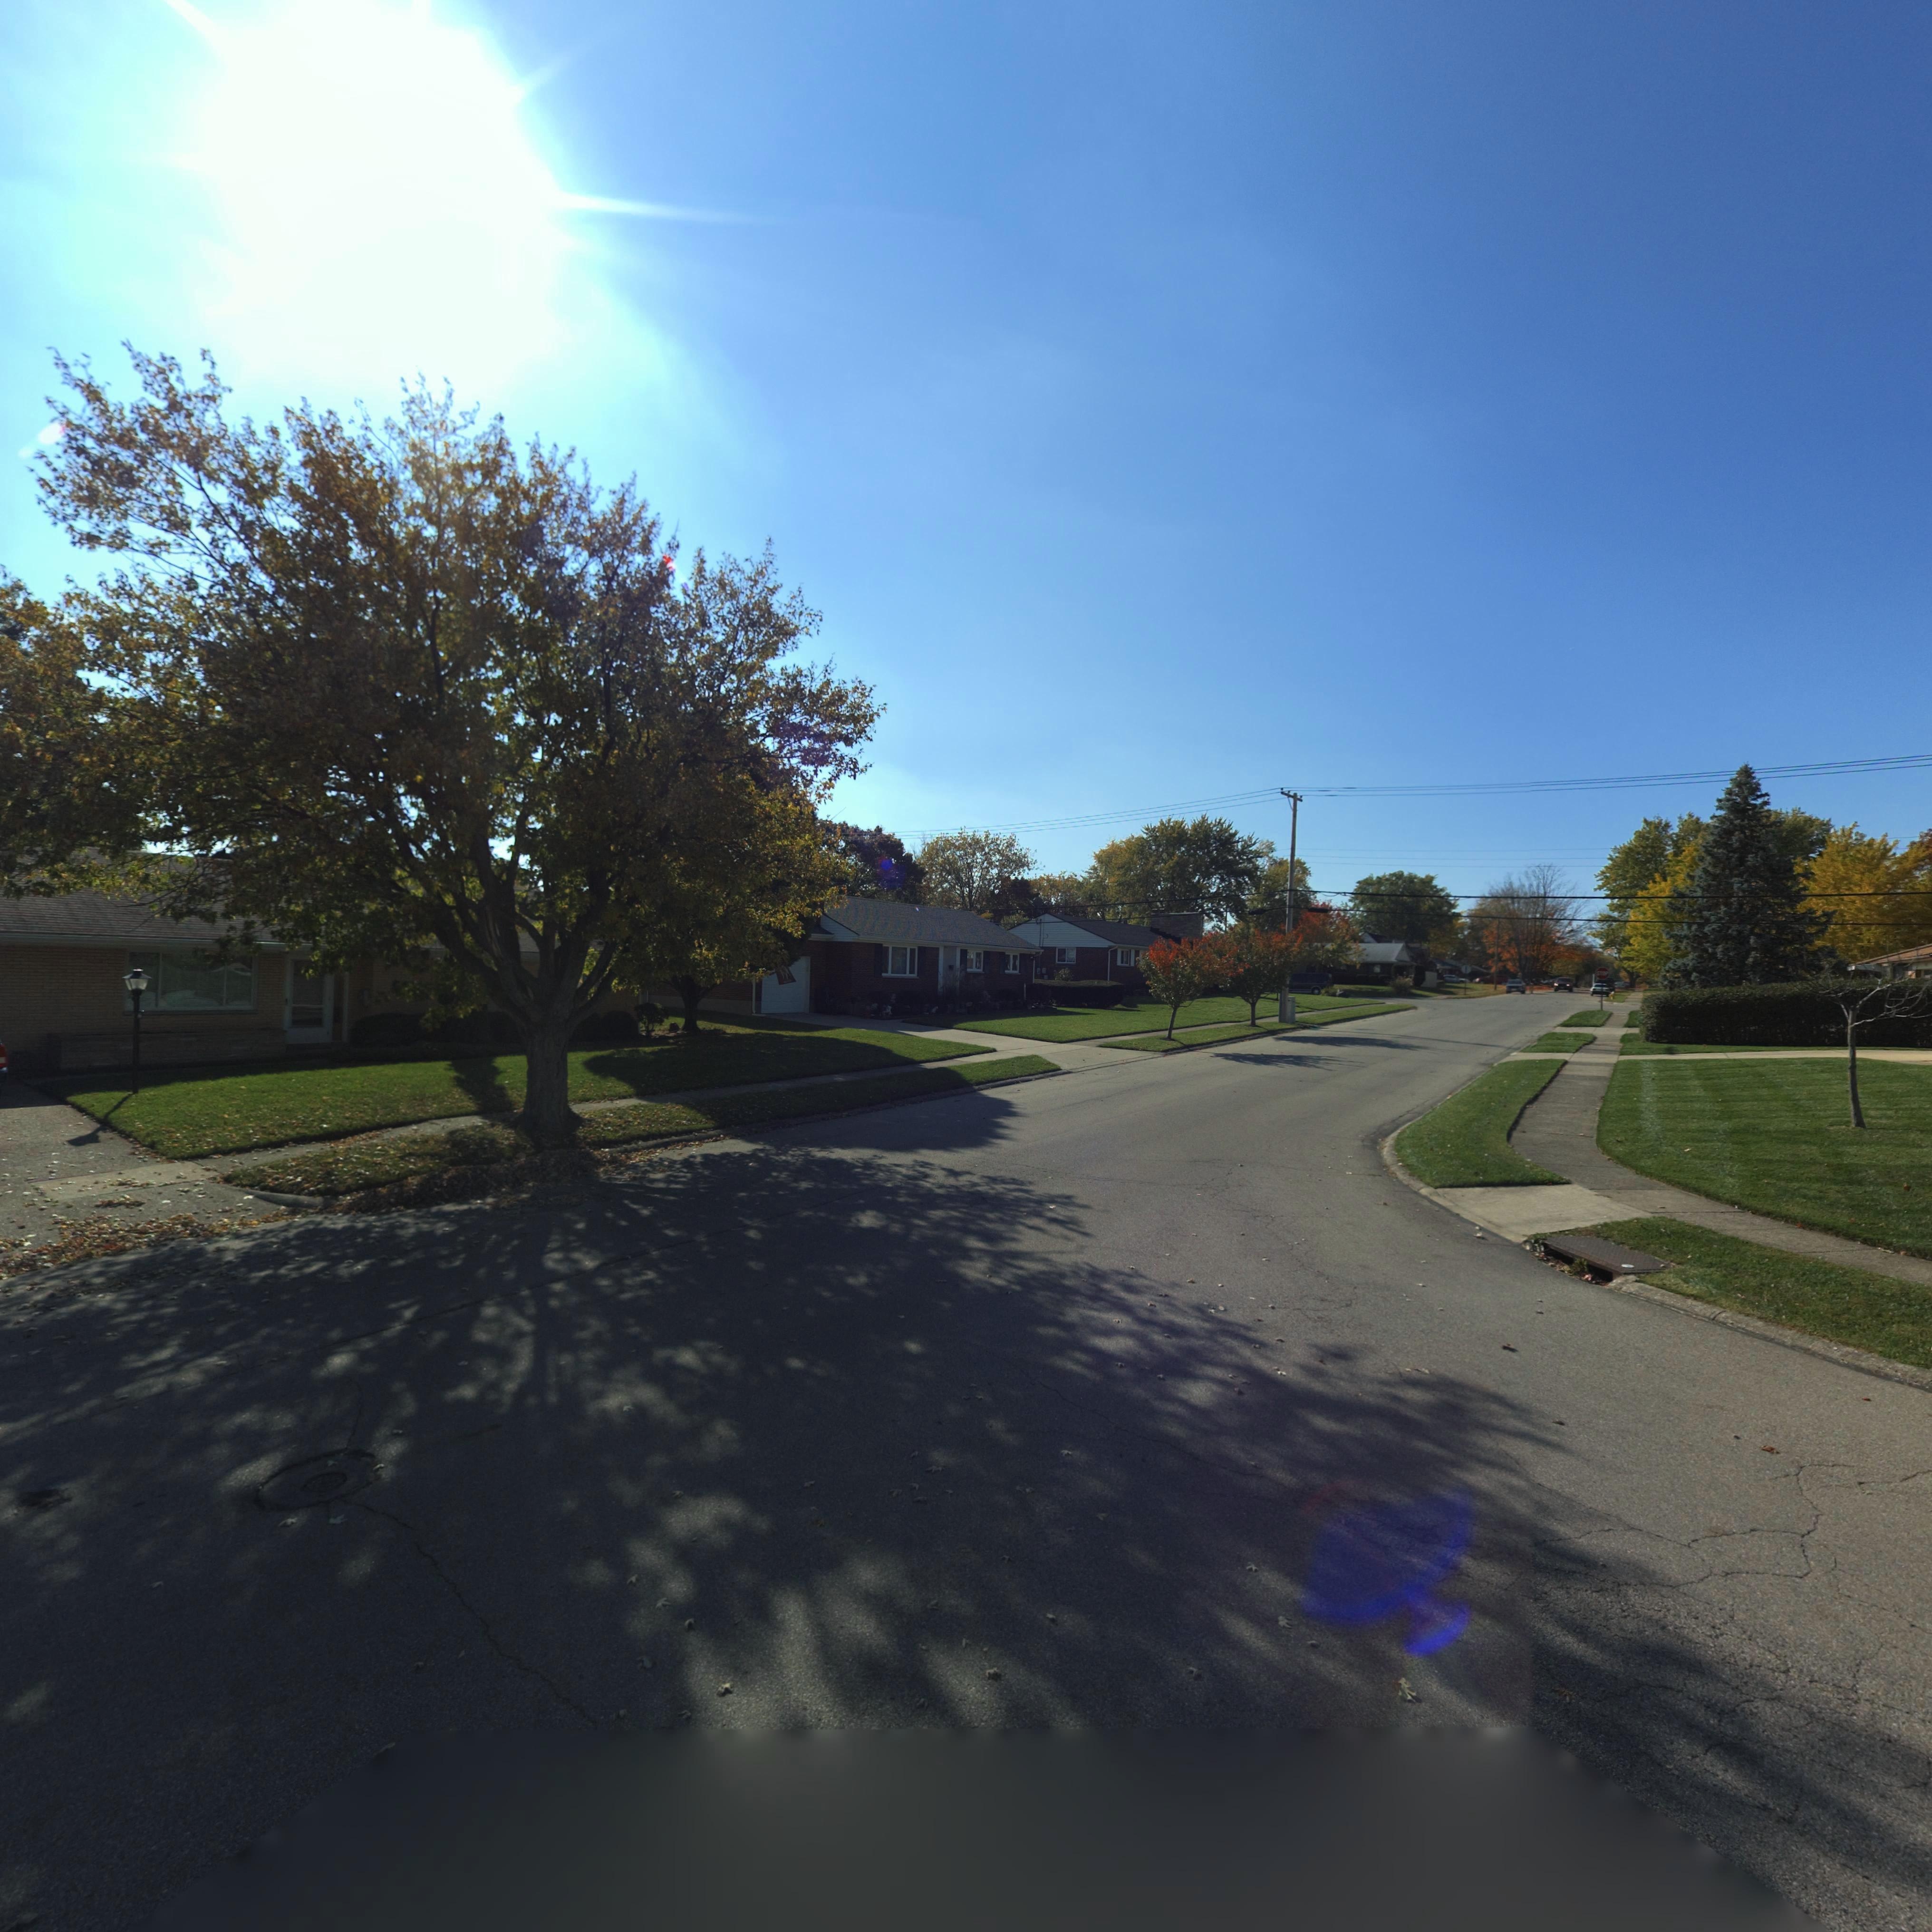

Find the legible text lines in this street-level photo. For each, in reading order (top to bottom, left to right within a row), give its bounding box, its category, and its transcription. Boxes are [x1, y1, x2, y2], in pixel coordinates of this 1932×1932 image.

[1595, 971, 1608, 976] None: STOP